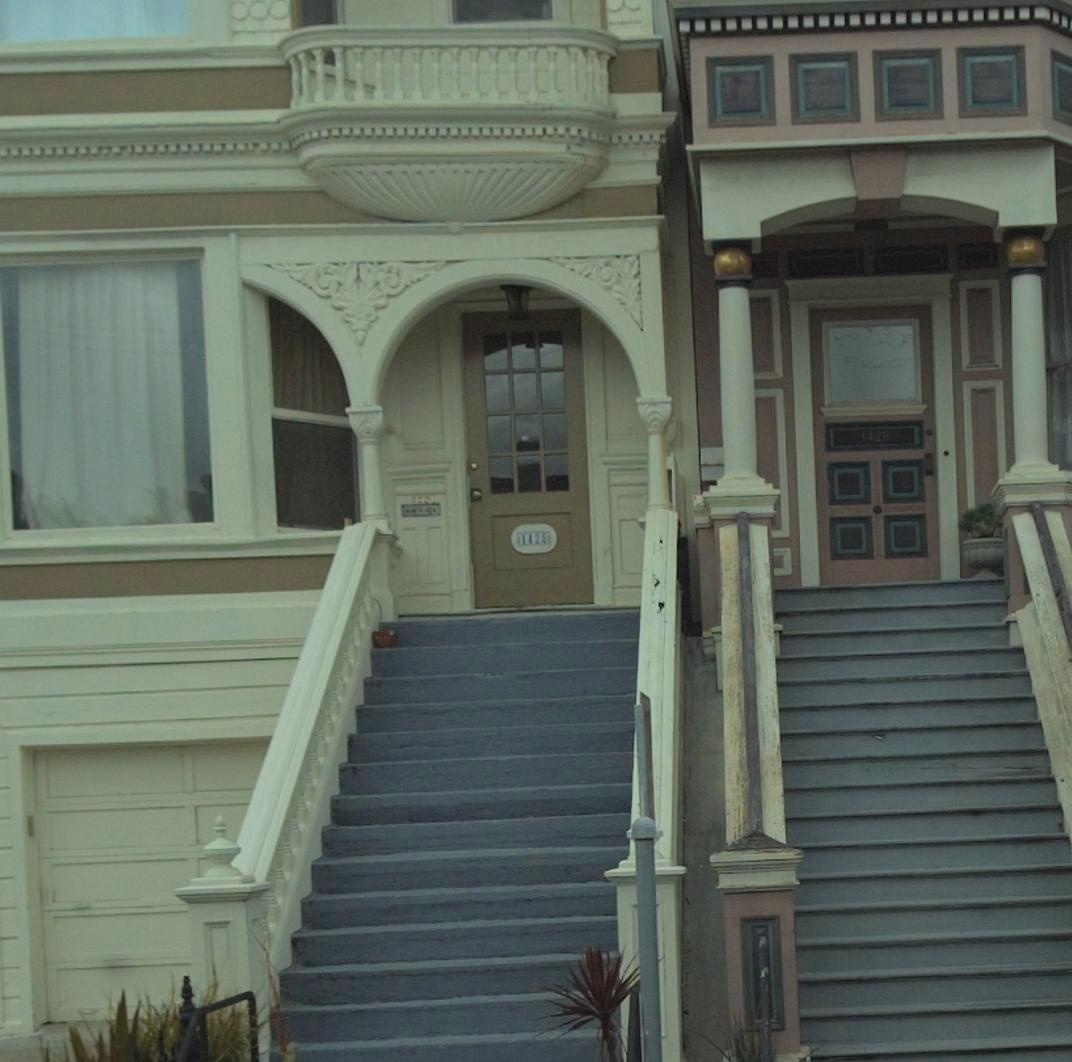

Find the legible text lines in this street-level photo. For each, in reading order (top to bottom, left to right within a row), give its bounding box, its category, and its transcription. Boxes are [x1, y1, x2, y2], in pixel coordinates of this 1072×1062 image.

[860, 428, 891, 444] StreetNumber: 1420
[520, 532, 548, 546] StreetNumber: 1428